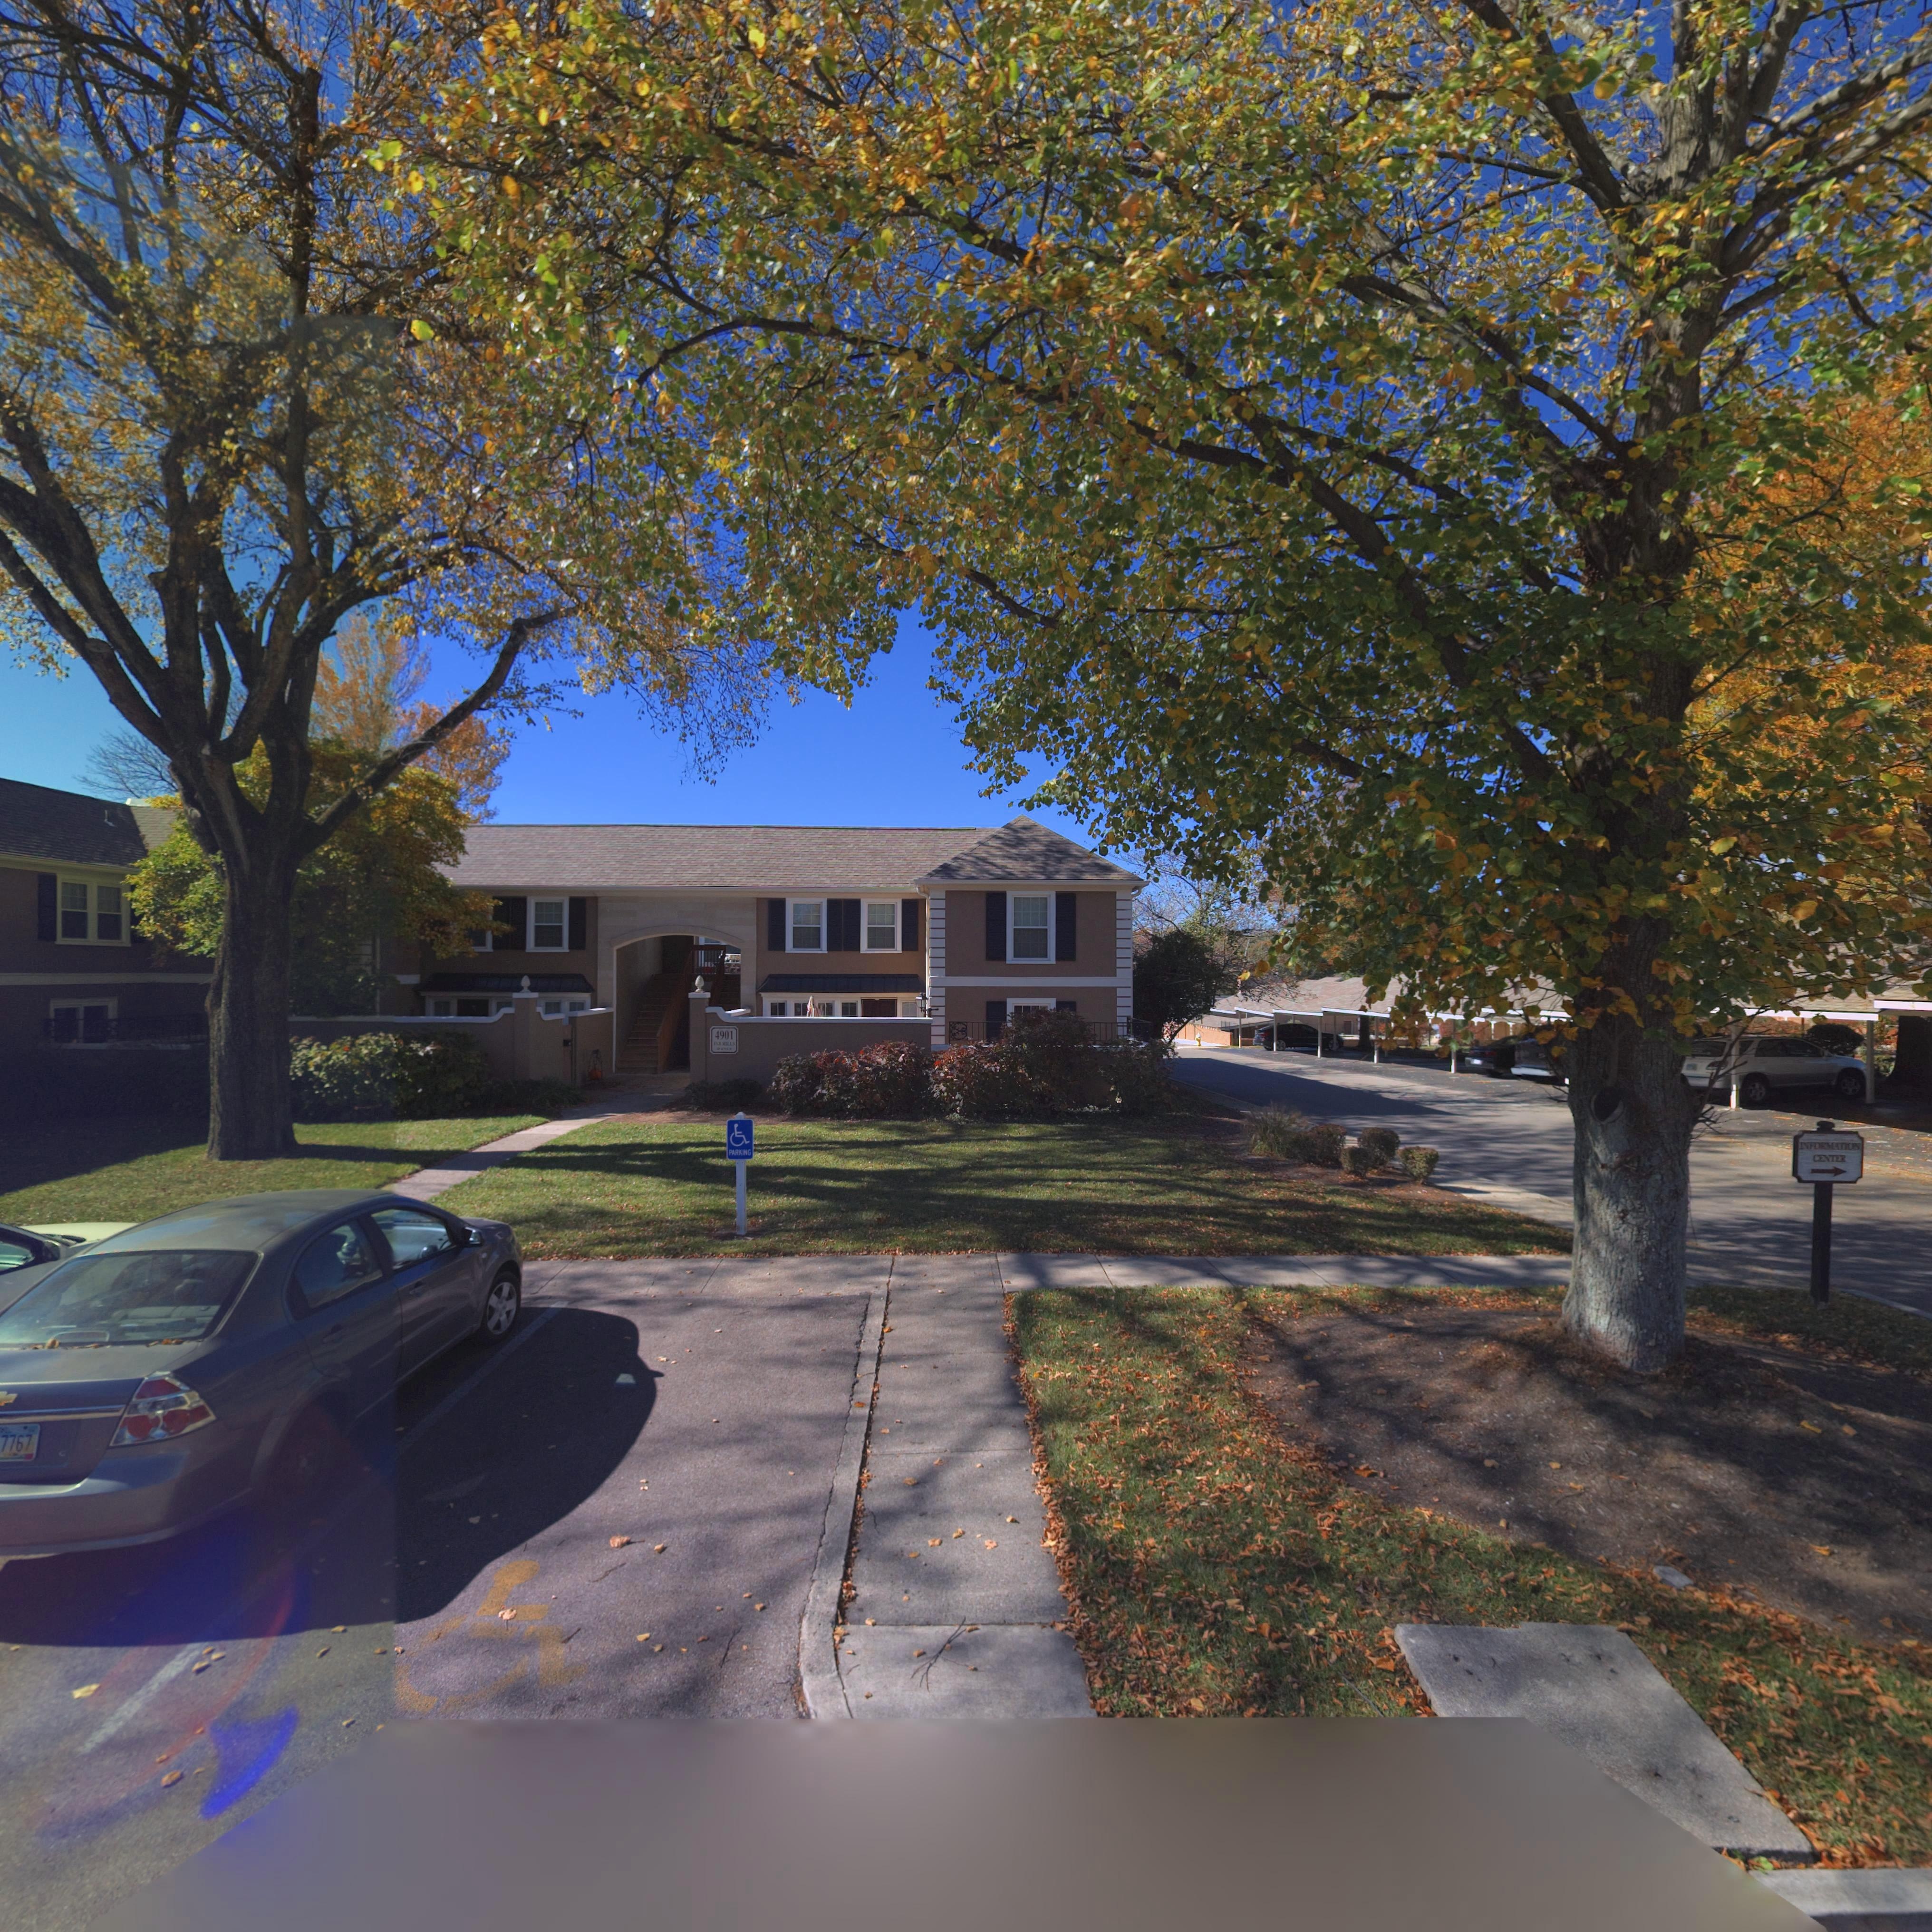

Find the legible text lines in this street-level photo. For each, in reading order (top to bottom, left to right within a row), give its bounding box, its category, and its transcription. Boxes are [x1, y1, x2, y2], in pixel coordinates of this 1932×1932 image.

[714, 1030, 734, 1041] StreetNumber: 4901